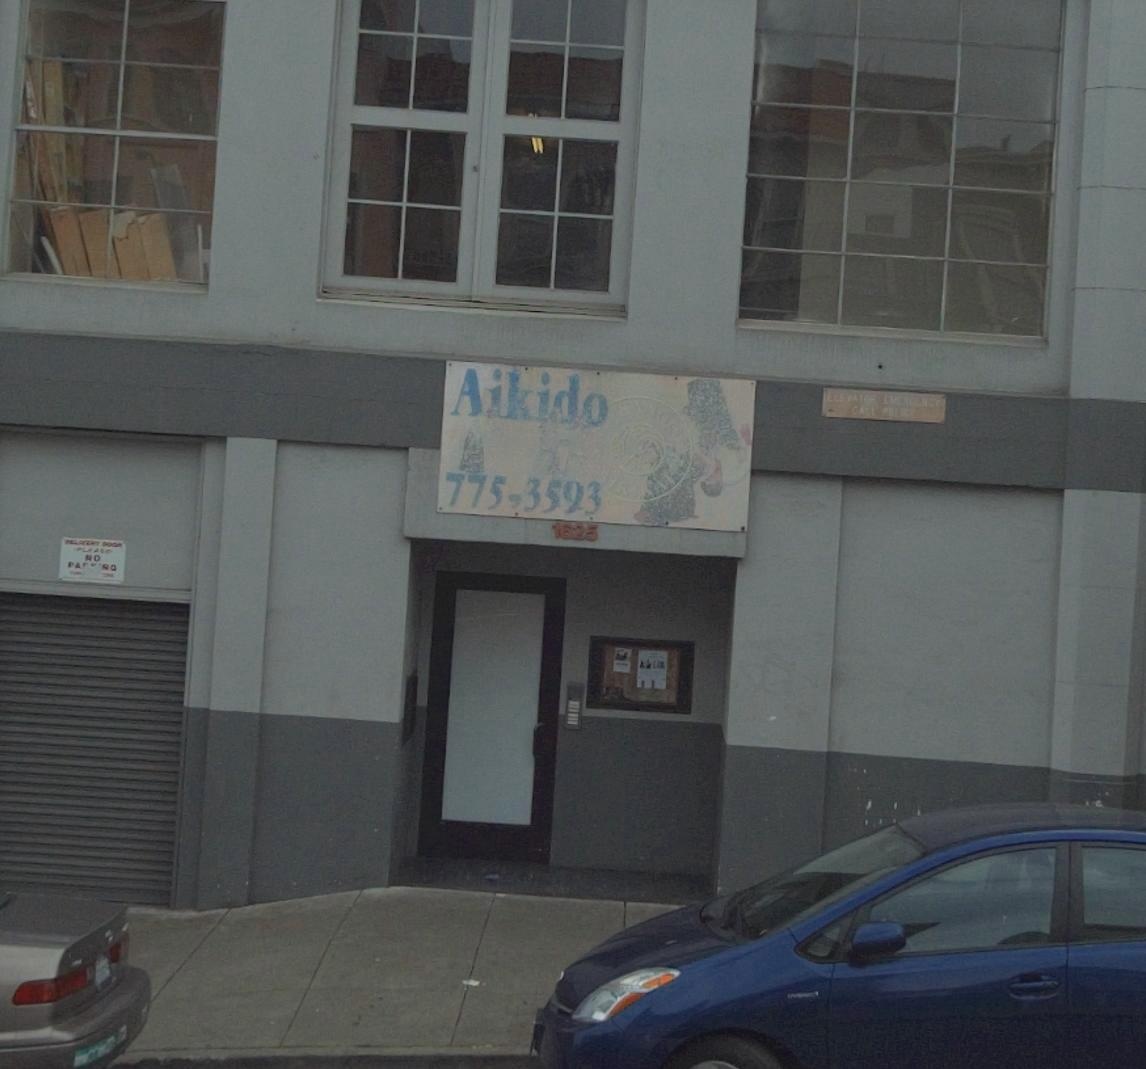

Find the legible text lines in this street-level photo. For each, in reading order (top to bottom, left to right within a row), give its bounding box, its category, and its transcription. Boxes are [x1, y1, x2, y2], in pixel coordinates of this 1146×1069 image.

[448, 365, 609, 429] None: Aikido
[826, 391, 941, 408] None: ELEVATOR EMERGENCY
[850, 404, 916, 419] None: CALL POLICE
[444, 470, 604, 517] None: 775-3593
[550, 519, 600, 543] StreetNumber: 1625
[66, 560, 117, 573] None: PA***NG
[84, 553, 101, 563] None: NO